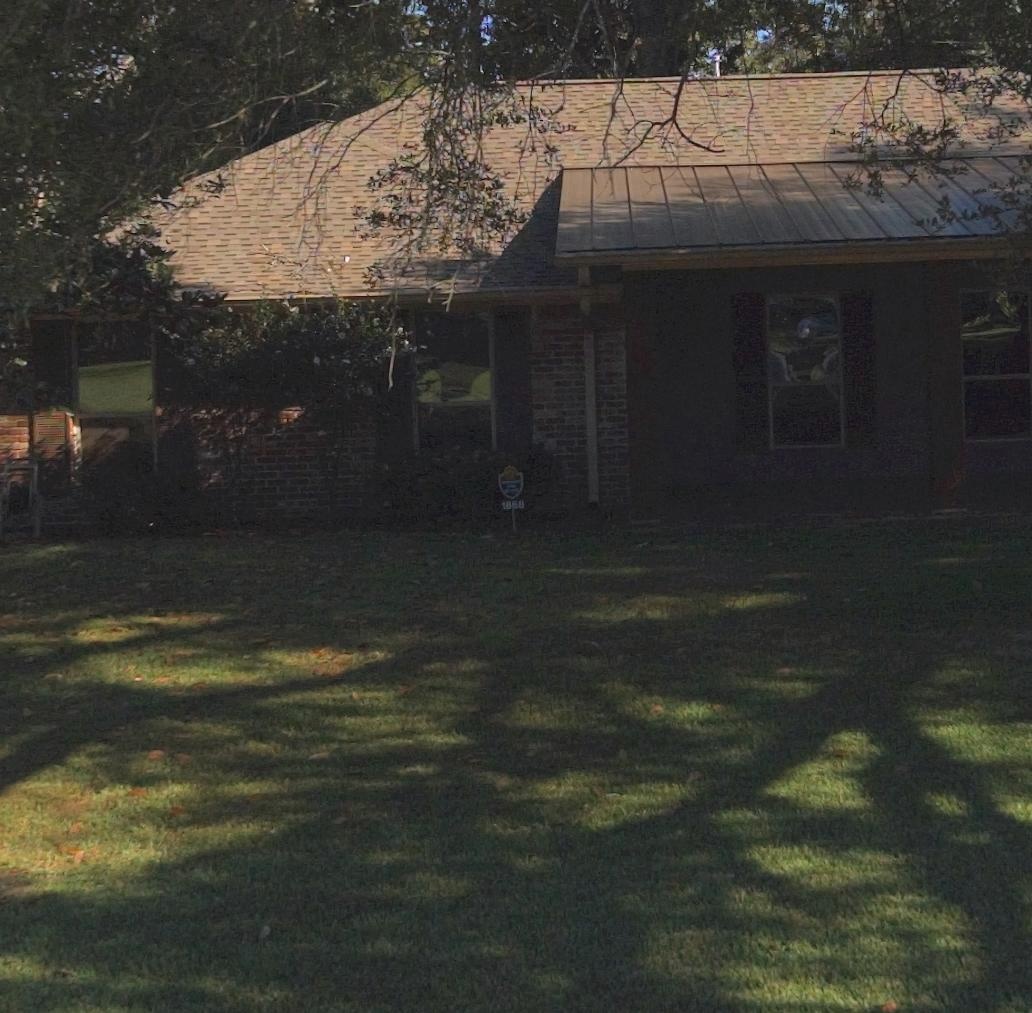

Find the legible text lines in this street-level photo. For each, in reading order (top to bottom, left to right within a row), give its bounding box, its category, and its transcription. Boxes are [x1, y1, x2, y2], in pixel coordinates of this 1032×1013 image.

[500, 498, 527, 512] StreetNumber: 1868